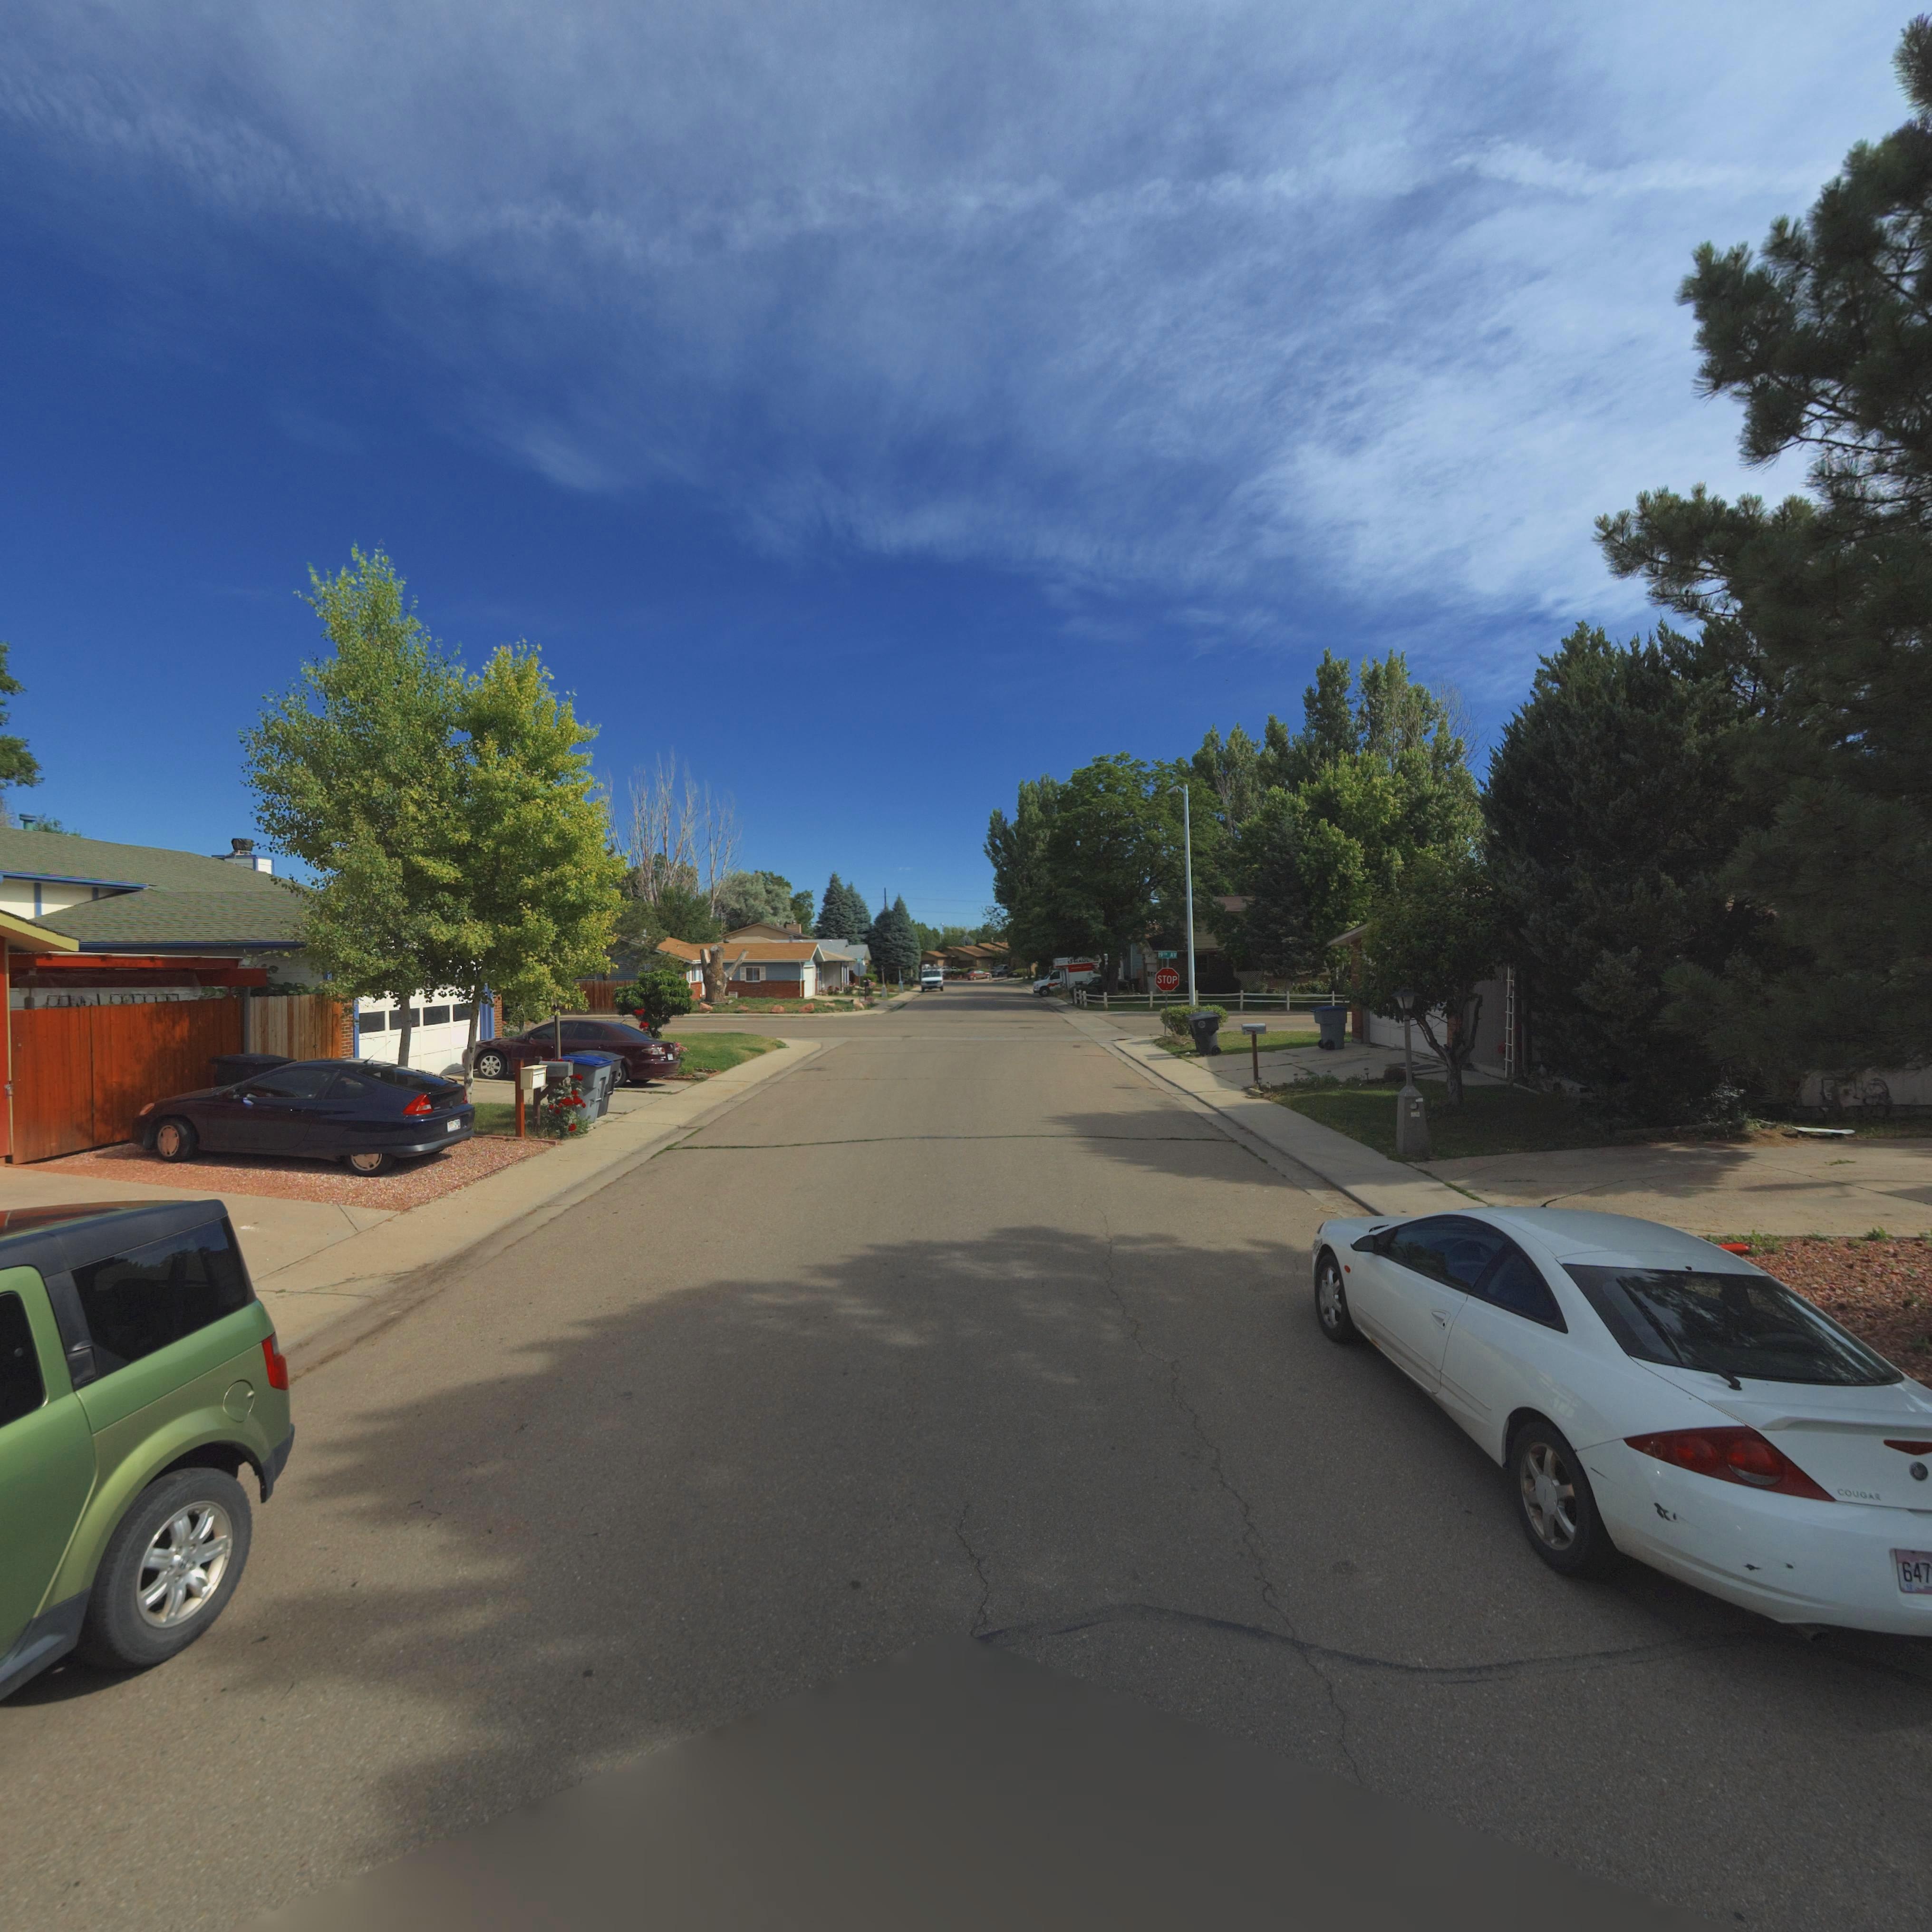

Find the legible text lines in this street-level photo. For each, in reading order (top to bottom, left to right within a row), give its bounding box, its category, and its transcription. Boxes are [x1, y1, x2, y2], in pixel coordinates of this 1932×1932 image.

[1158, 952, 1178, 958] StreetName: 19TH AV